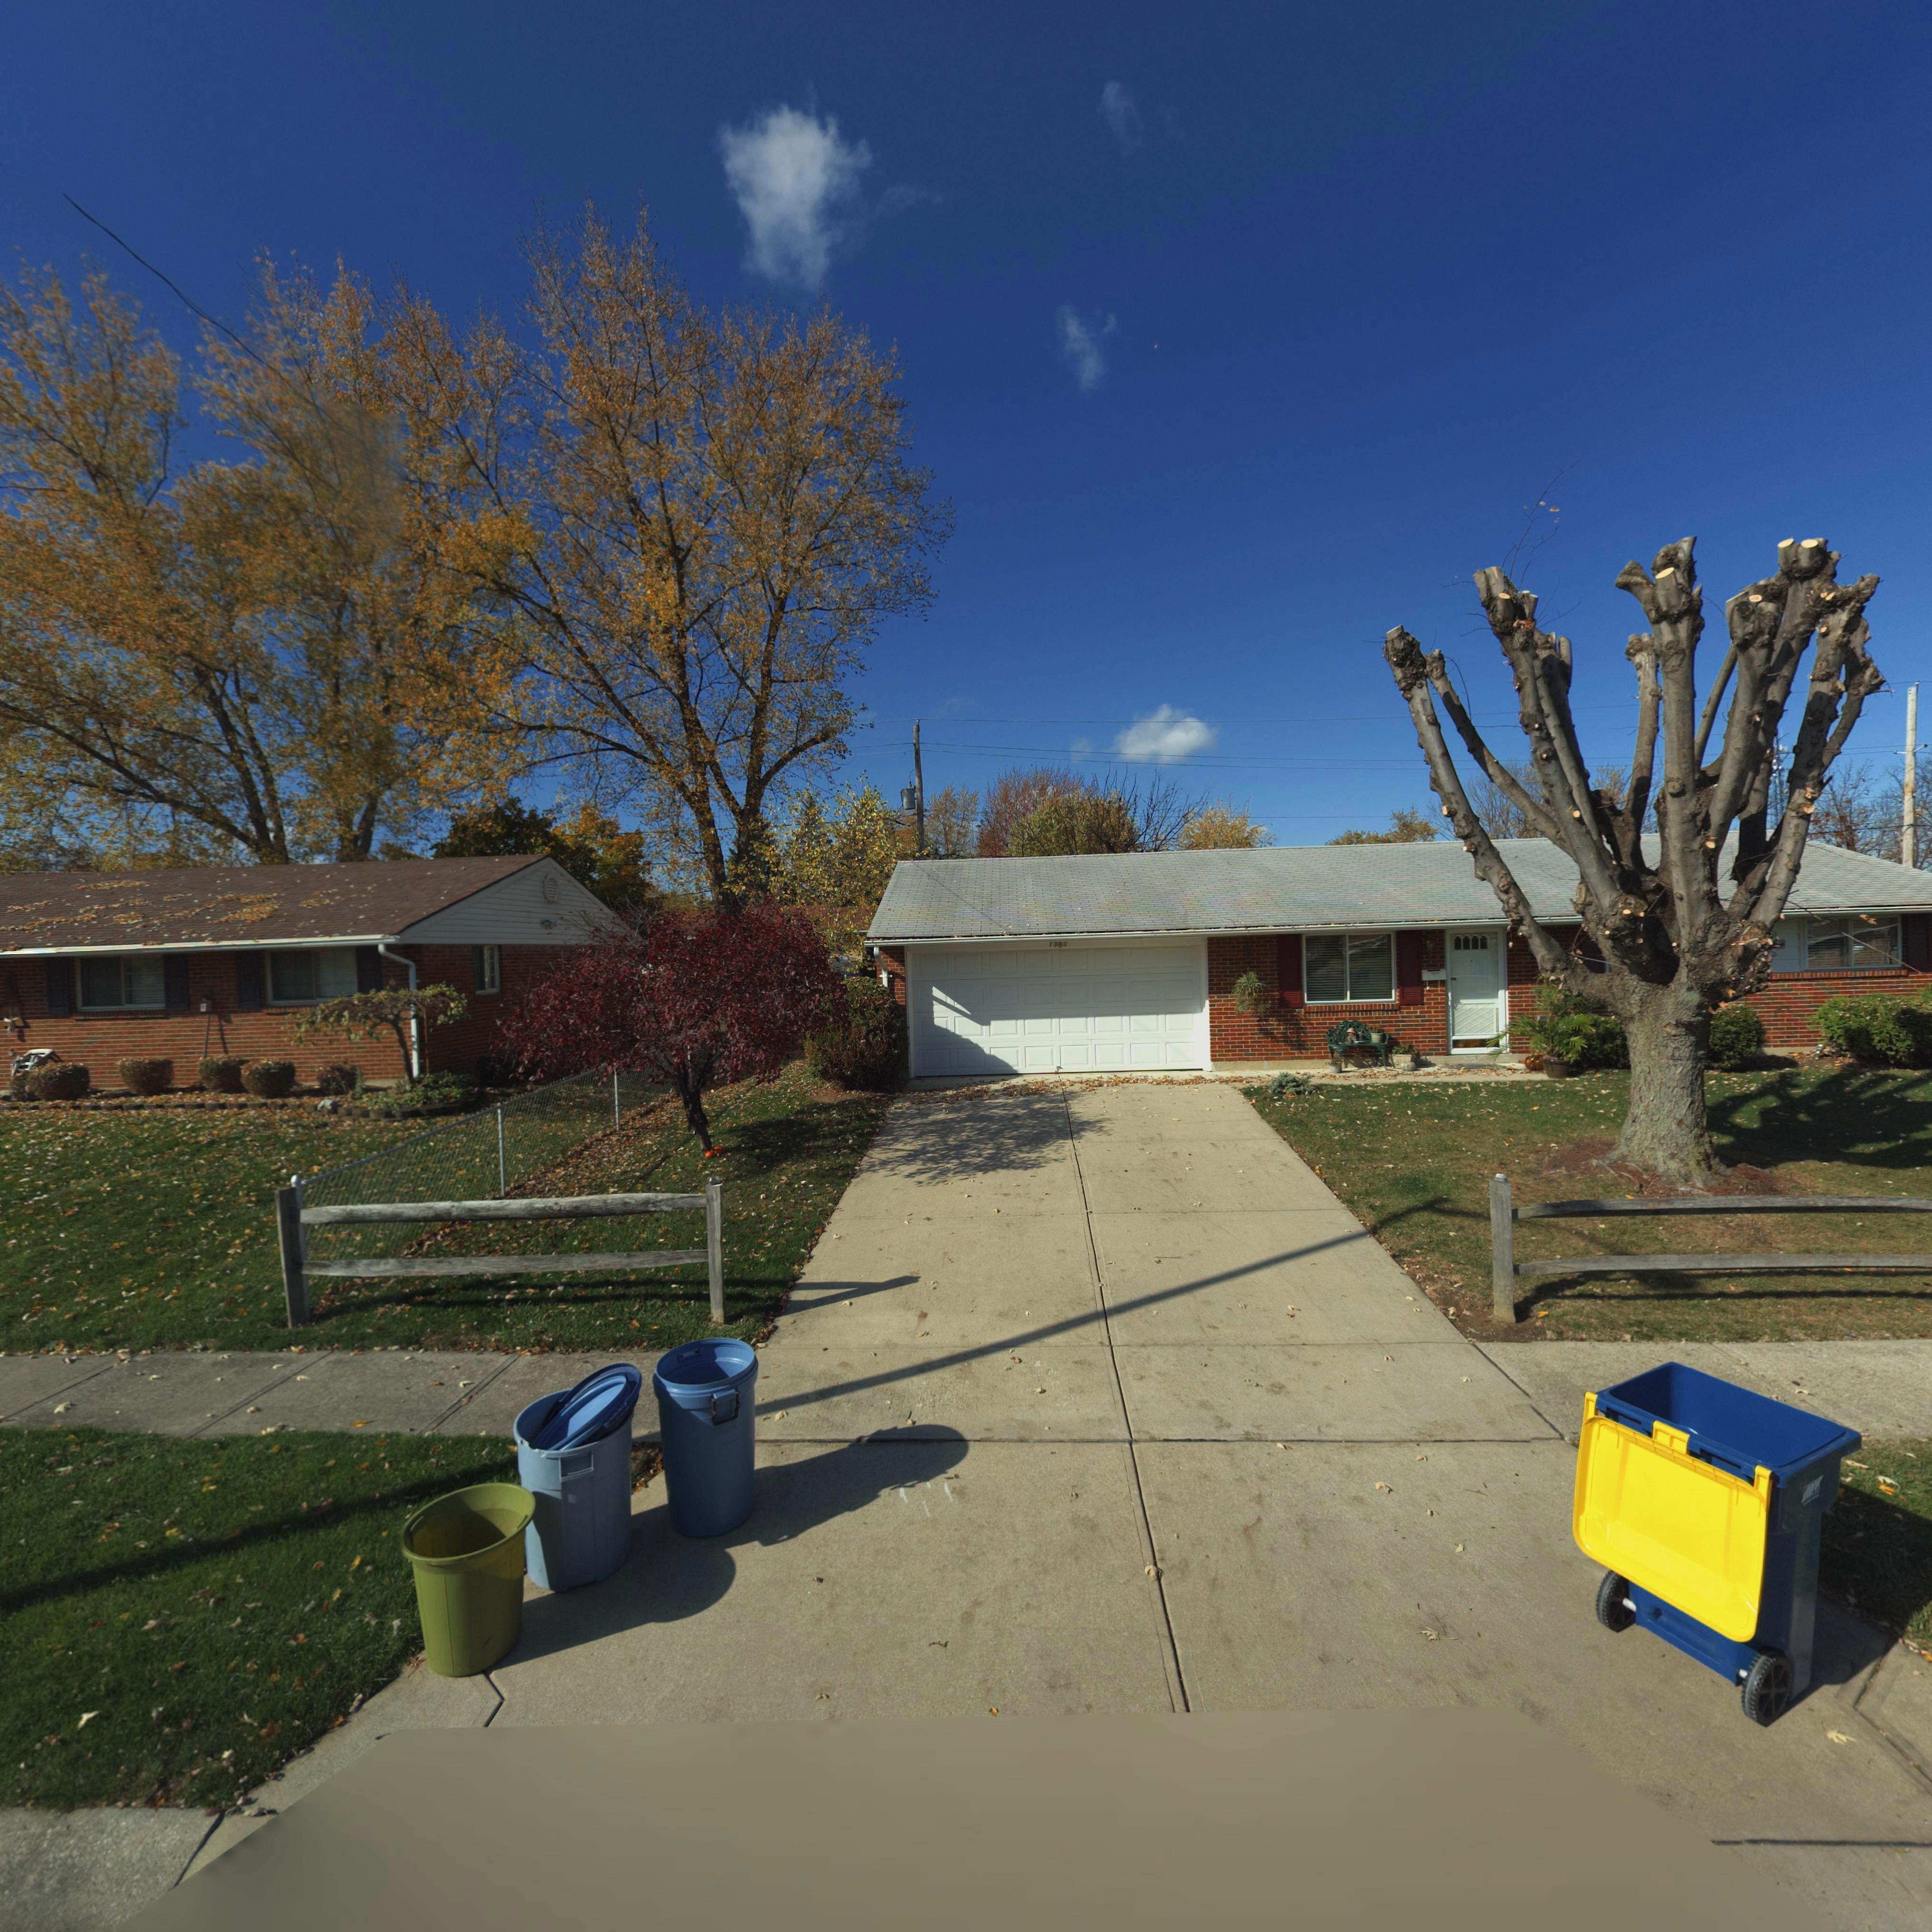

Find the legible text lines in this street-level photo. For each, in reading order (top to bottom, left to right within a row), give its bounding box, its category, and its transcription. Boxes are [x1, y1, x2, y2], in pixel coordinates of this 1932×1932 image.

[1048, 941, 1053, 948] StreetNumber: 7